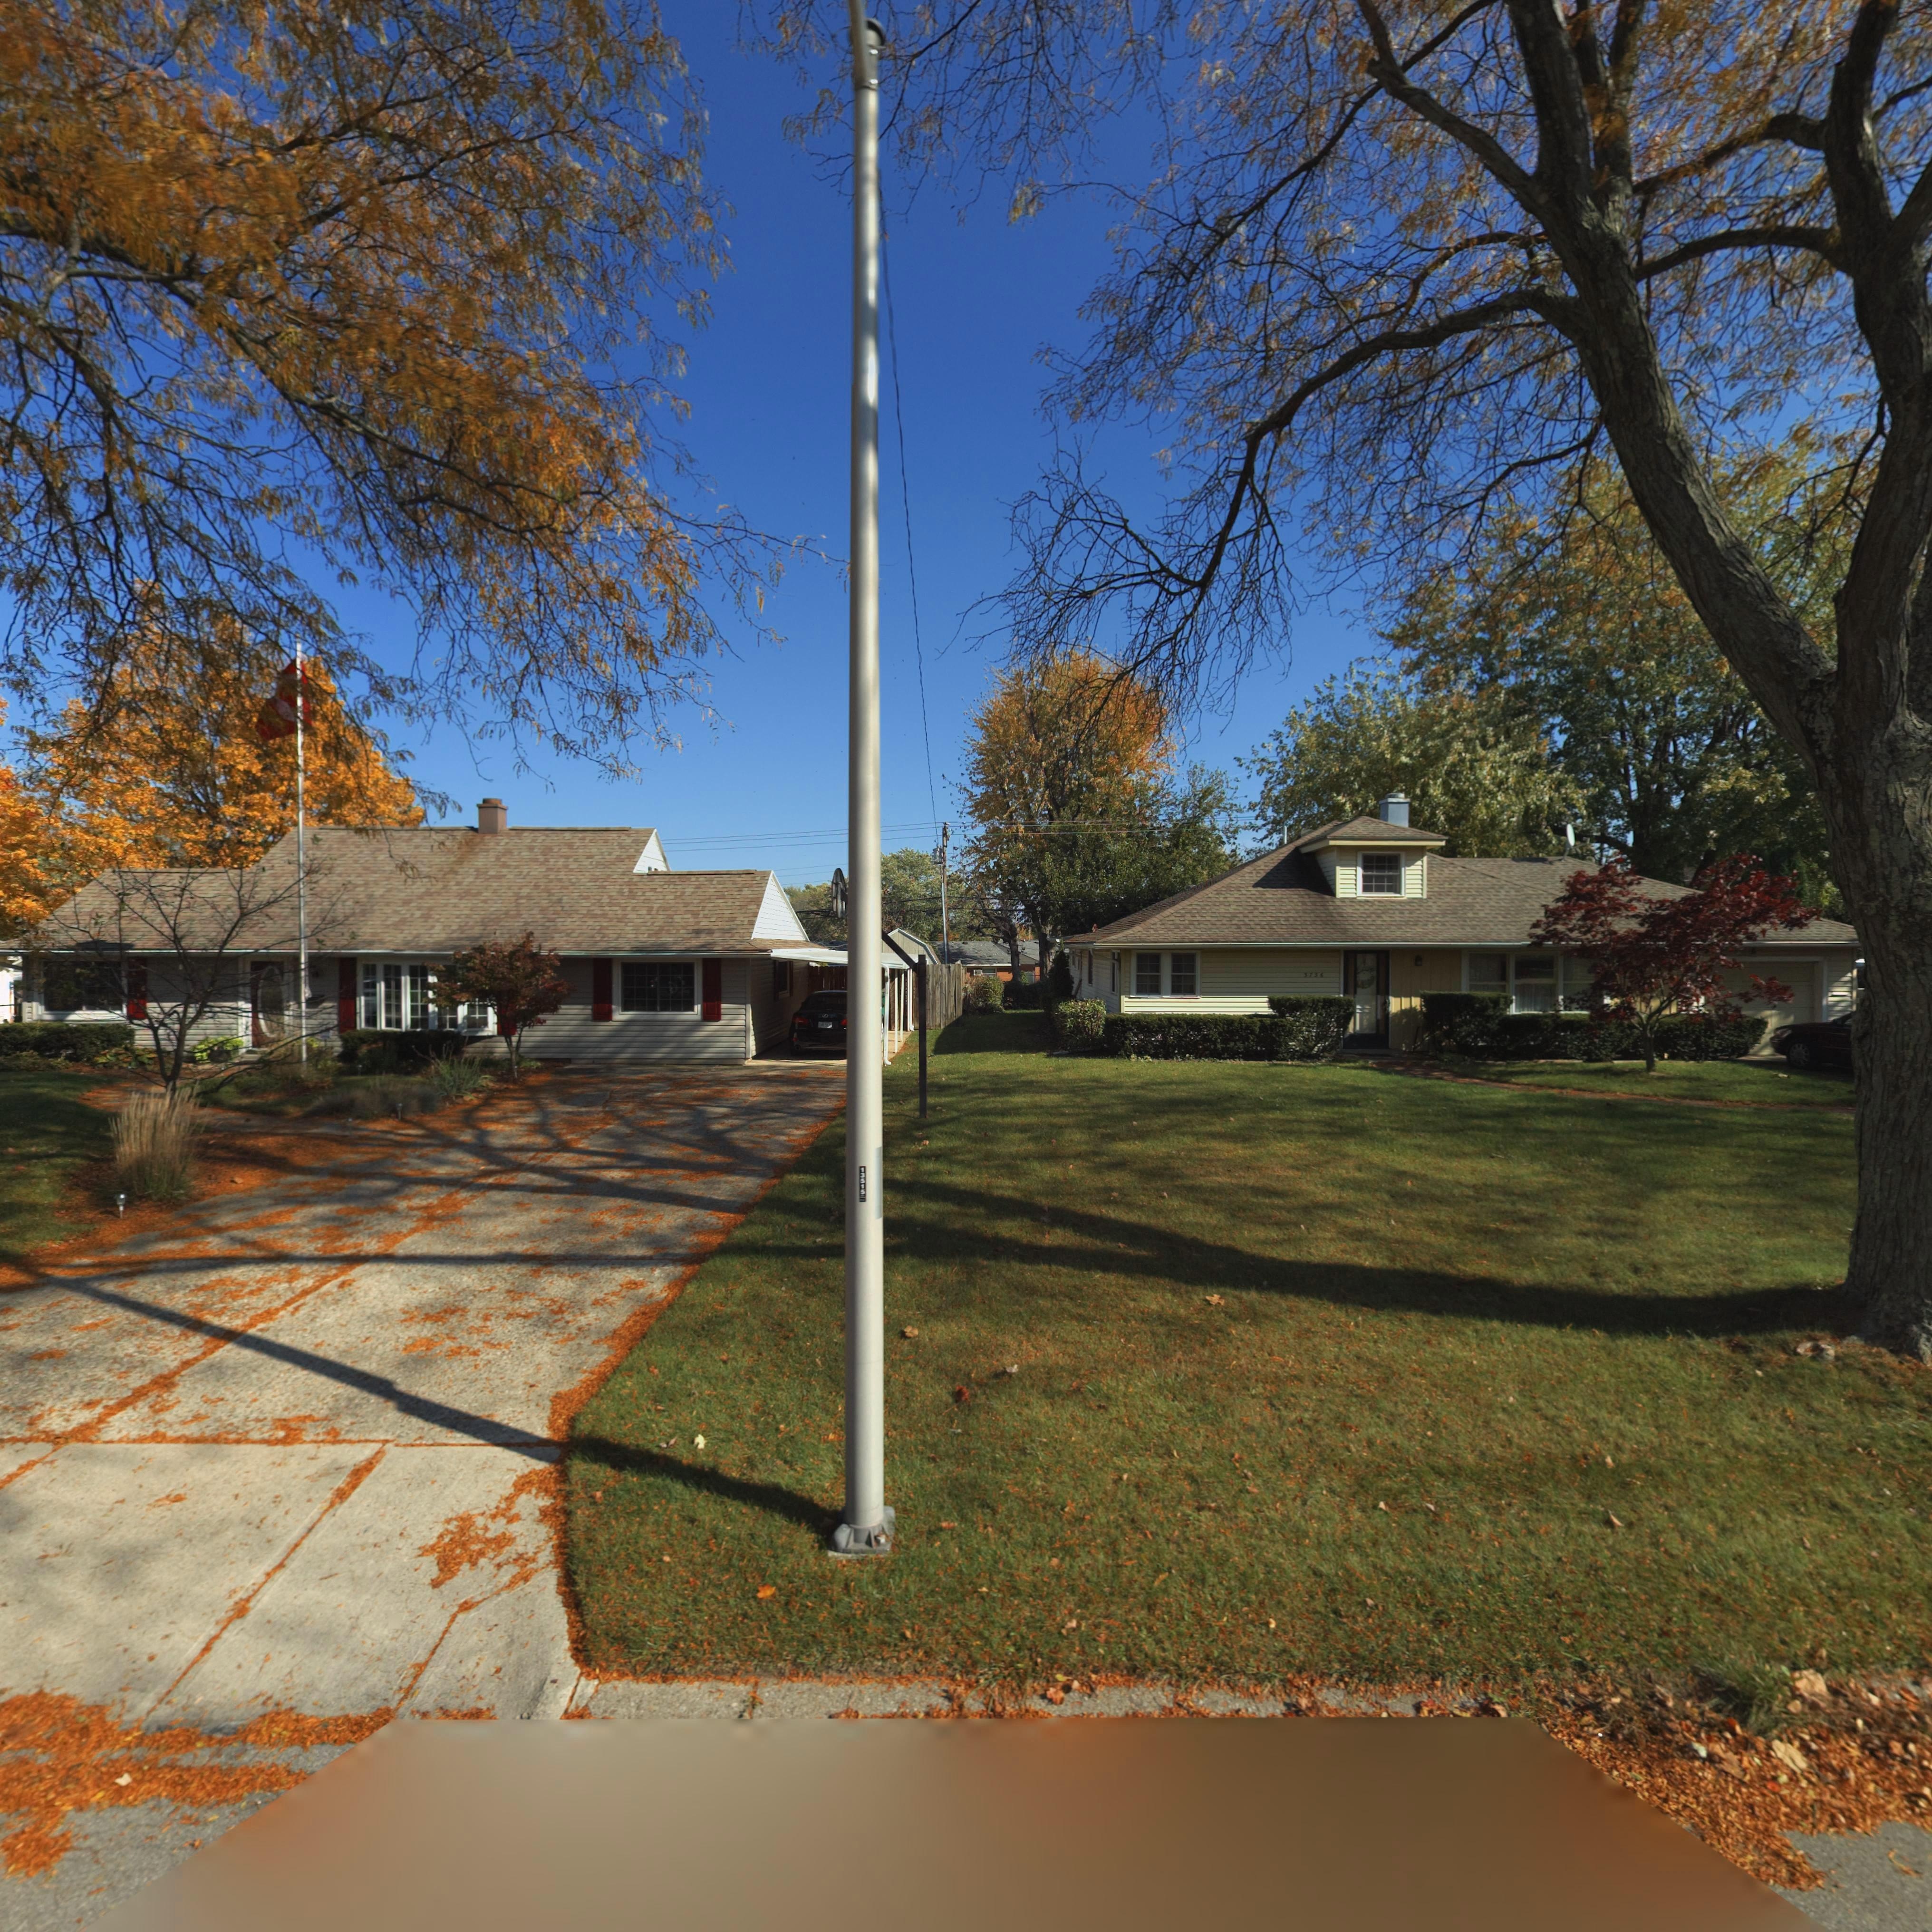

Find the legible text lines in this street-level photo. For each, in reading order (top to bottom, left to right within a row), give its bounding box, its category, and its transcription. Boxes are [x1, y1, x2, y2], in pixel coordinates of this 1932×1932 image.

[1304, 971, 1324, 978] StreetNumber: *7*6
[860, 1166, 866, 1195] None: 13515